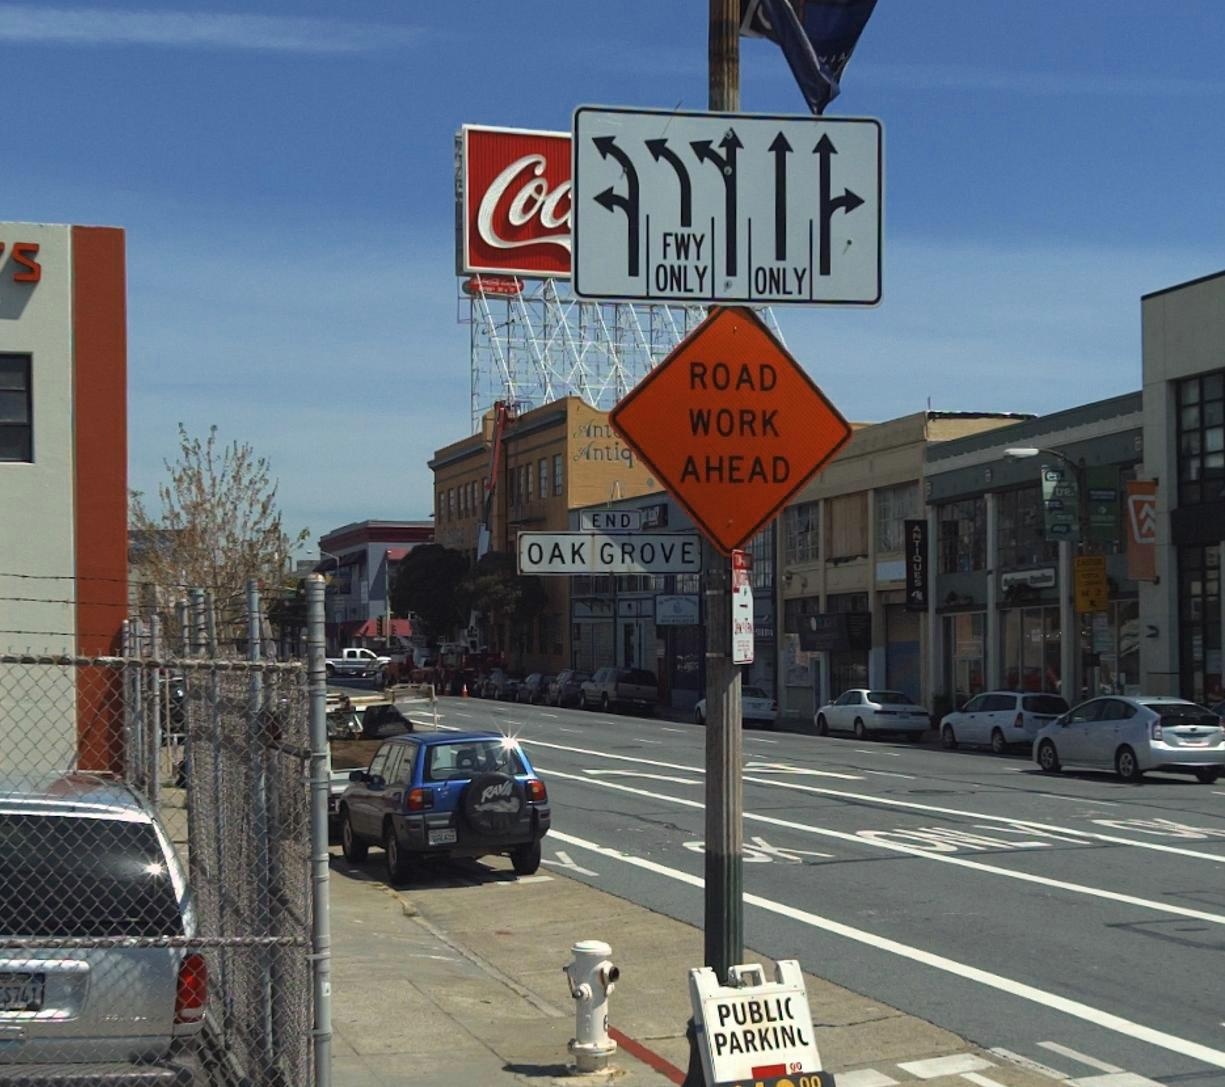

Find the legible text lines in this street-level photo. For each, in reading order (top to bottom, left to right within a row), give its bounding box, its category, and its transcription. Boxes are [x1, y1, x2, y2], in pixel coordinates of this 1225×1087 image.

[475, 141, 551, 260] None: Co
[9, 240, 43, 282] None: S
[660, 230, 707, 263] None: FWY
[653, 262, 709, 294] None: ONLY
[753, 265, 809, 296] None: ONLY
[687, 360, 778, 392] None: ROAD
[570, 417, 613, 439] None: Ant
[686, 406, 782, 439] None: WORK
[572, 439, 634, 463] None: Antiq
[678, 454, 791, 484] None: AHEAD
[591, 513, 630, 528] StreetNumberRange: END
[527, 540, 696, 567] StreetName: OAK GROVE
[911, 523, 925, 589] None: ANTIQUES
[477, 777, 516, 804] None: RAV4
[735, 830, 842, 868] None: K
[843, 818, 1103, 856] None: ONLY
[534, 847, 606, 884] None: Y
[9, 985, 40, 1006] None: 761
[714, 996, 788, 1028] None: PUBLI
[712, 1023, 802, 1058] None: PARKIN